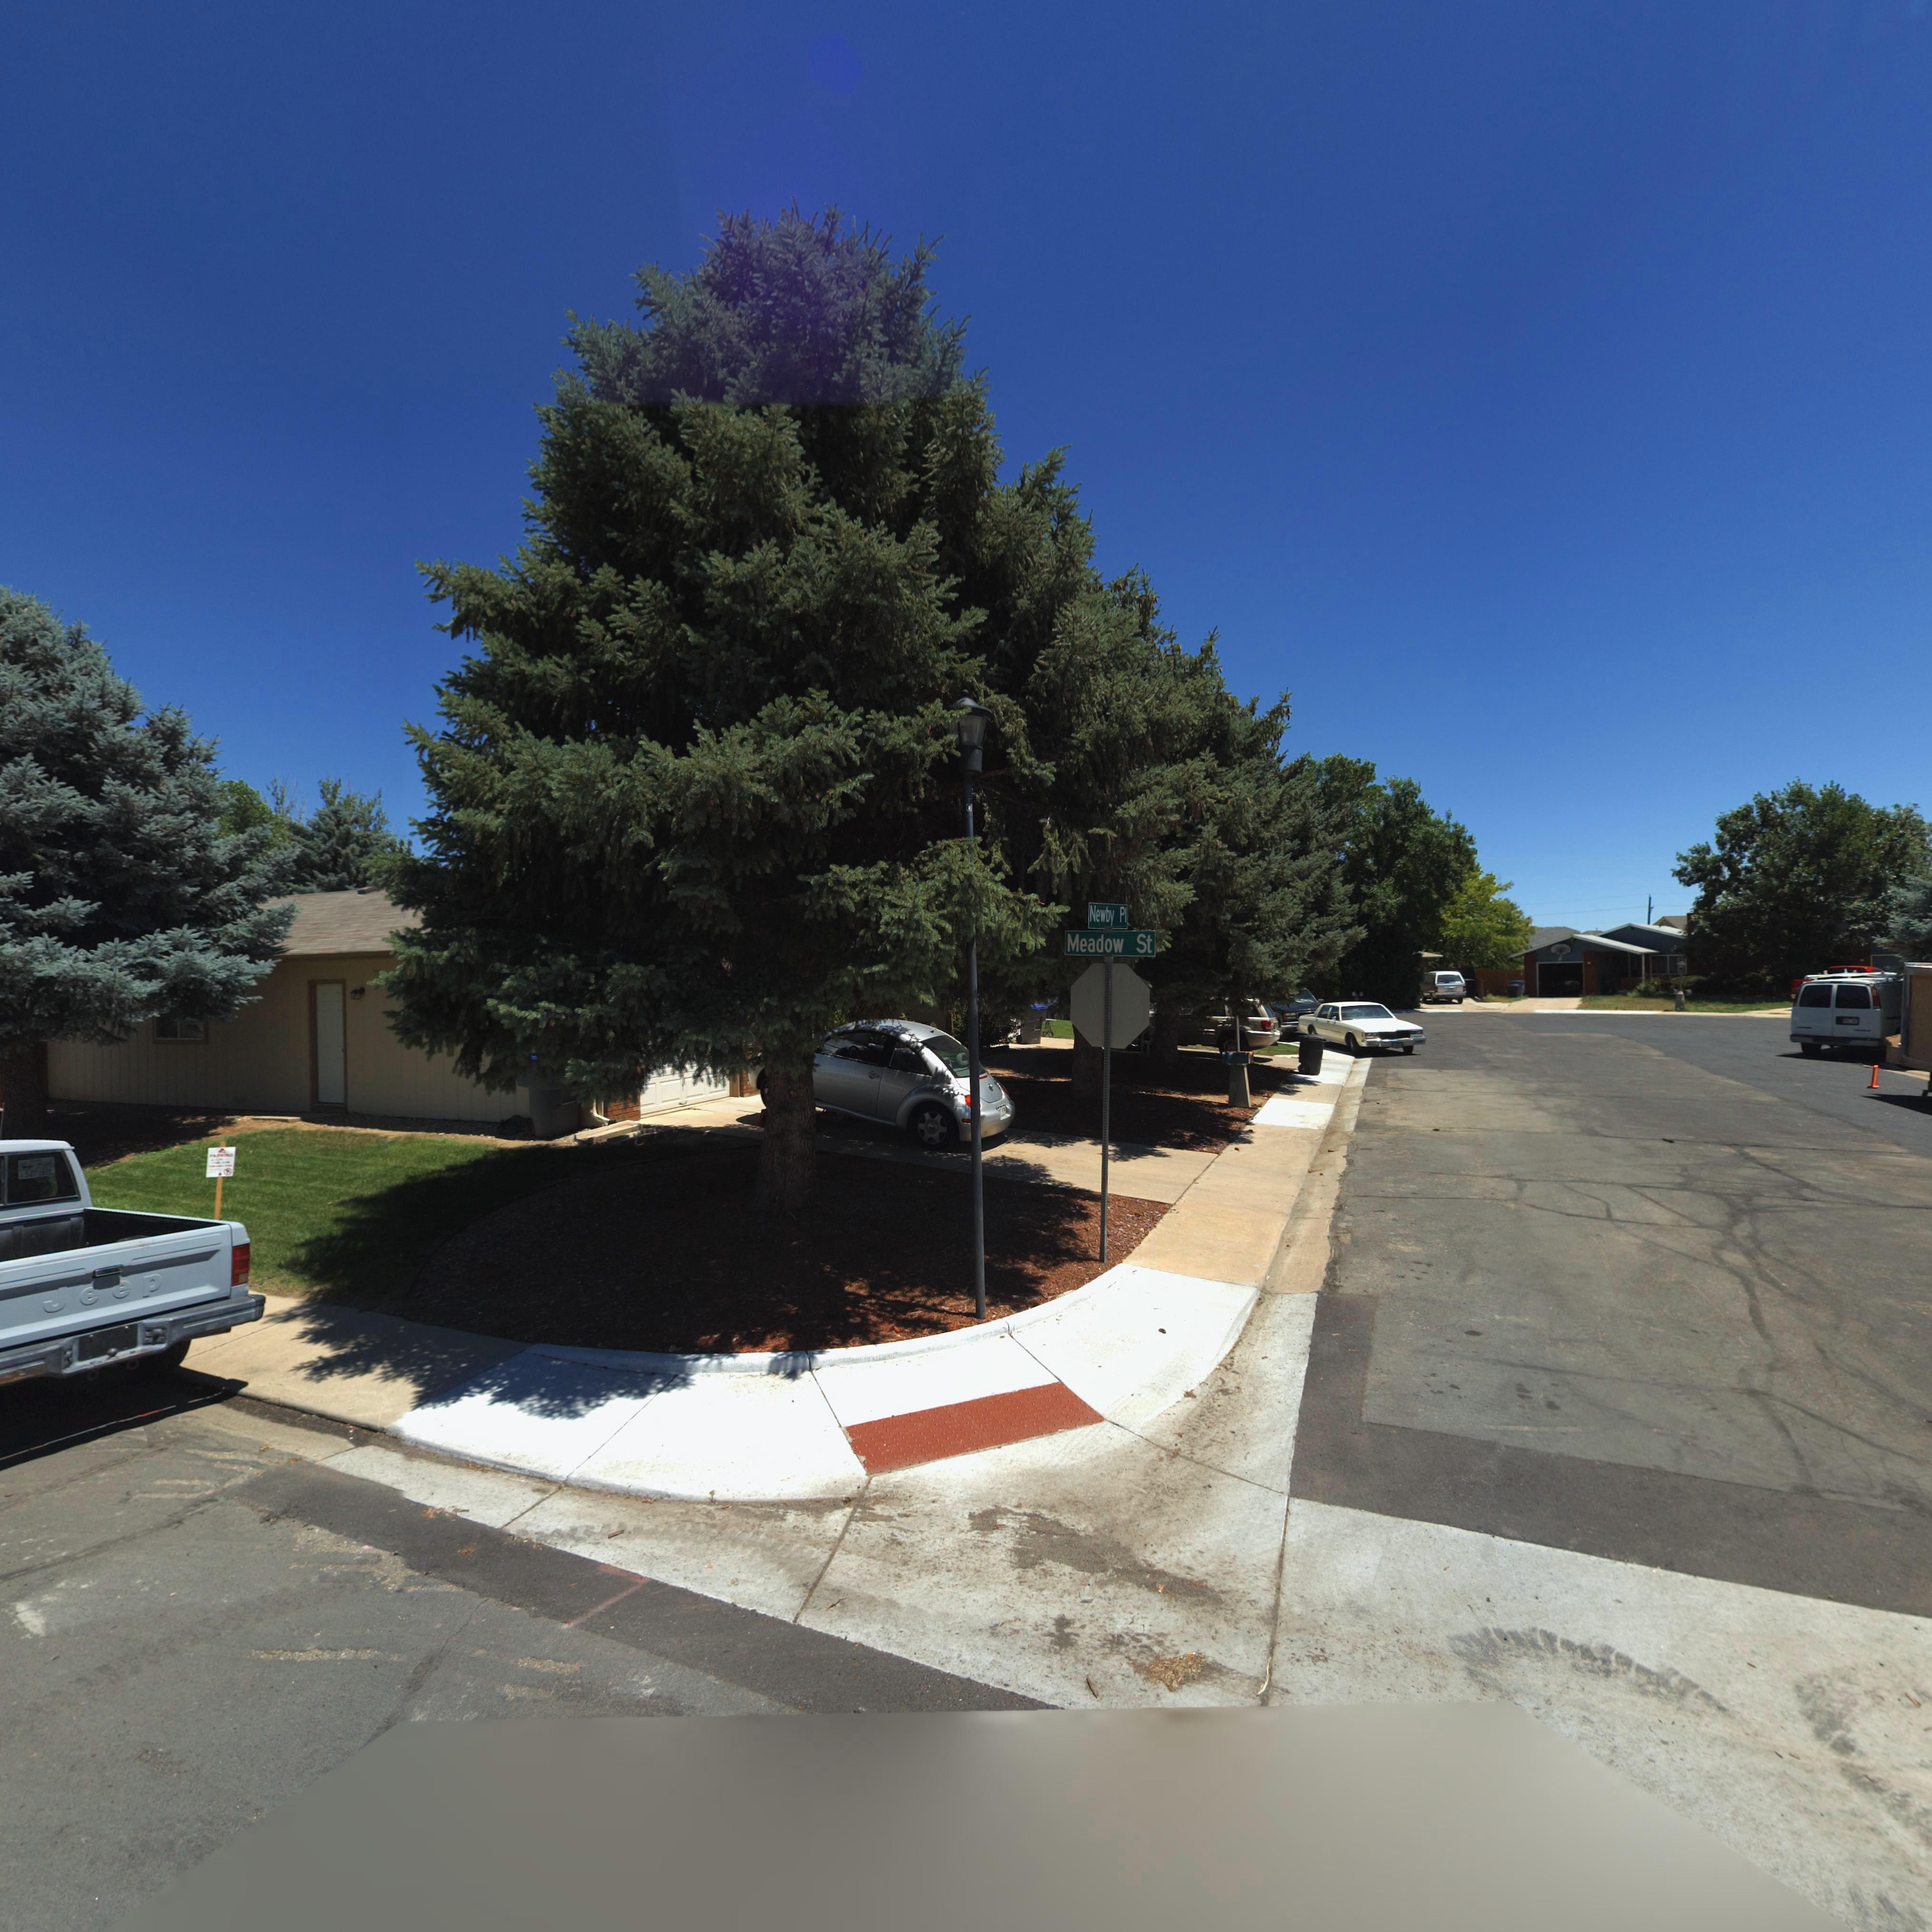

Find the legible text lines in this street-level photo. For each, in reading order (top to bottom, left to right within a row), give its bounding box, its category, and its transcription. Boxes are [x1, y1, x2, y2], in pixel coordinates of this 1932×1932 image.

[1090, 905, 1127, 927] StreetName: Newby Pl
[1067, 933, 1152, 953] StreetName: Meadow st